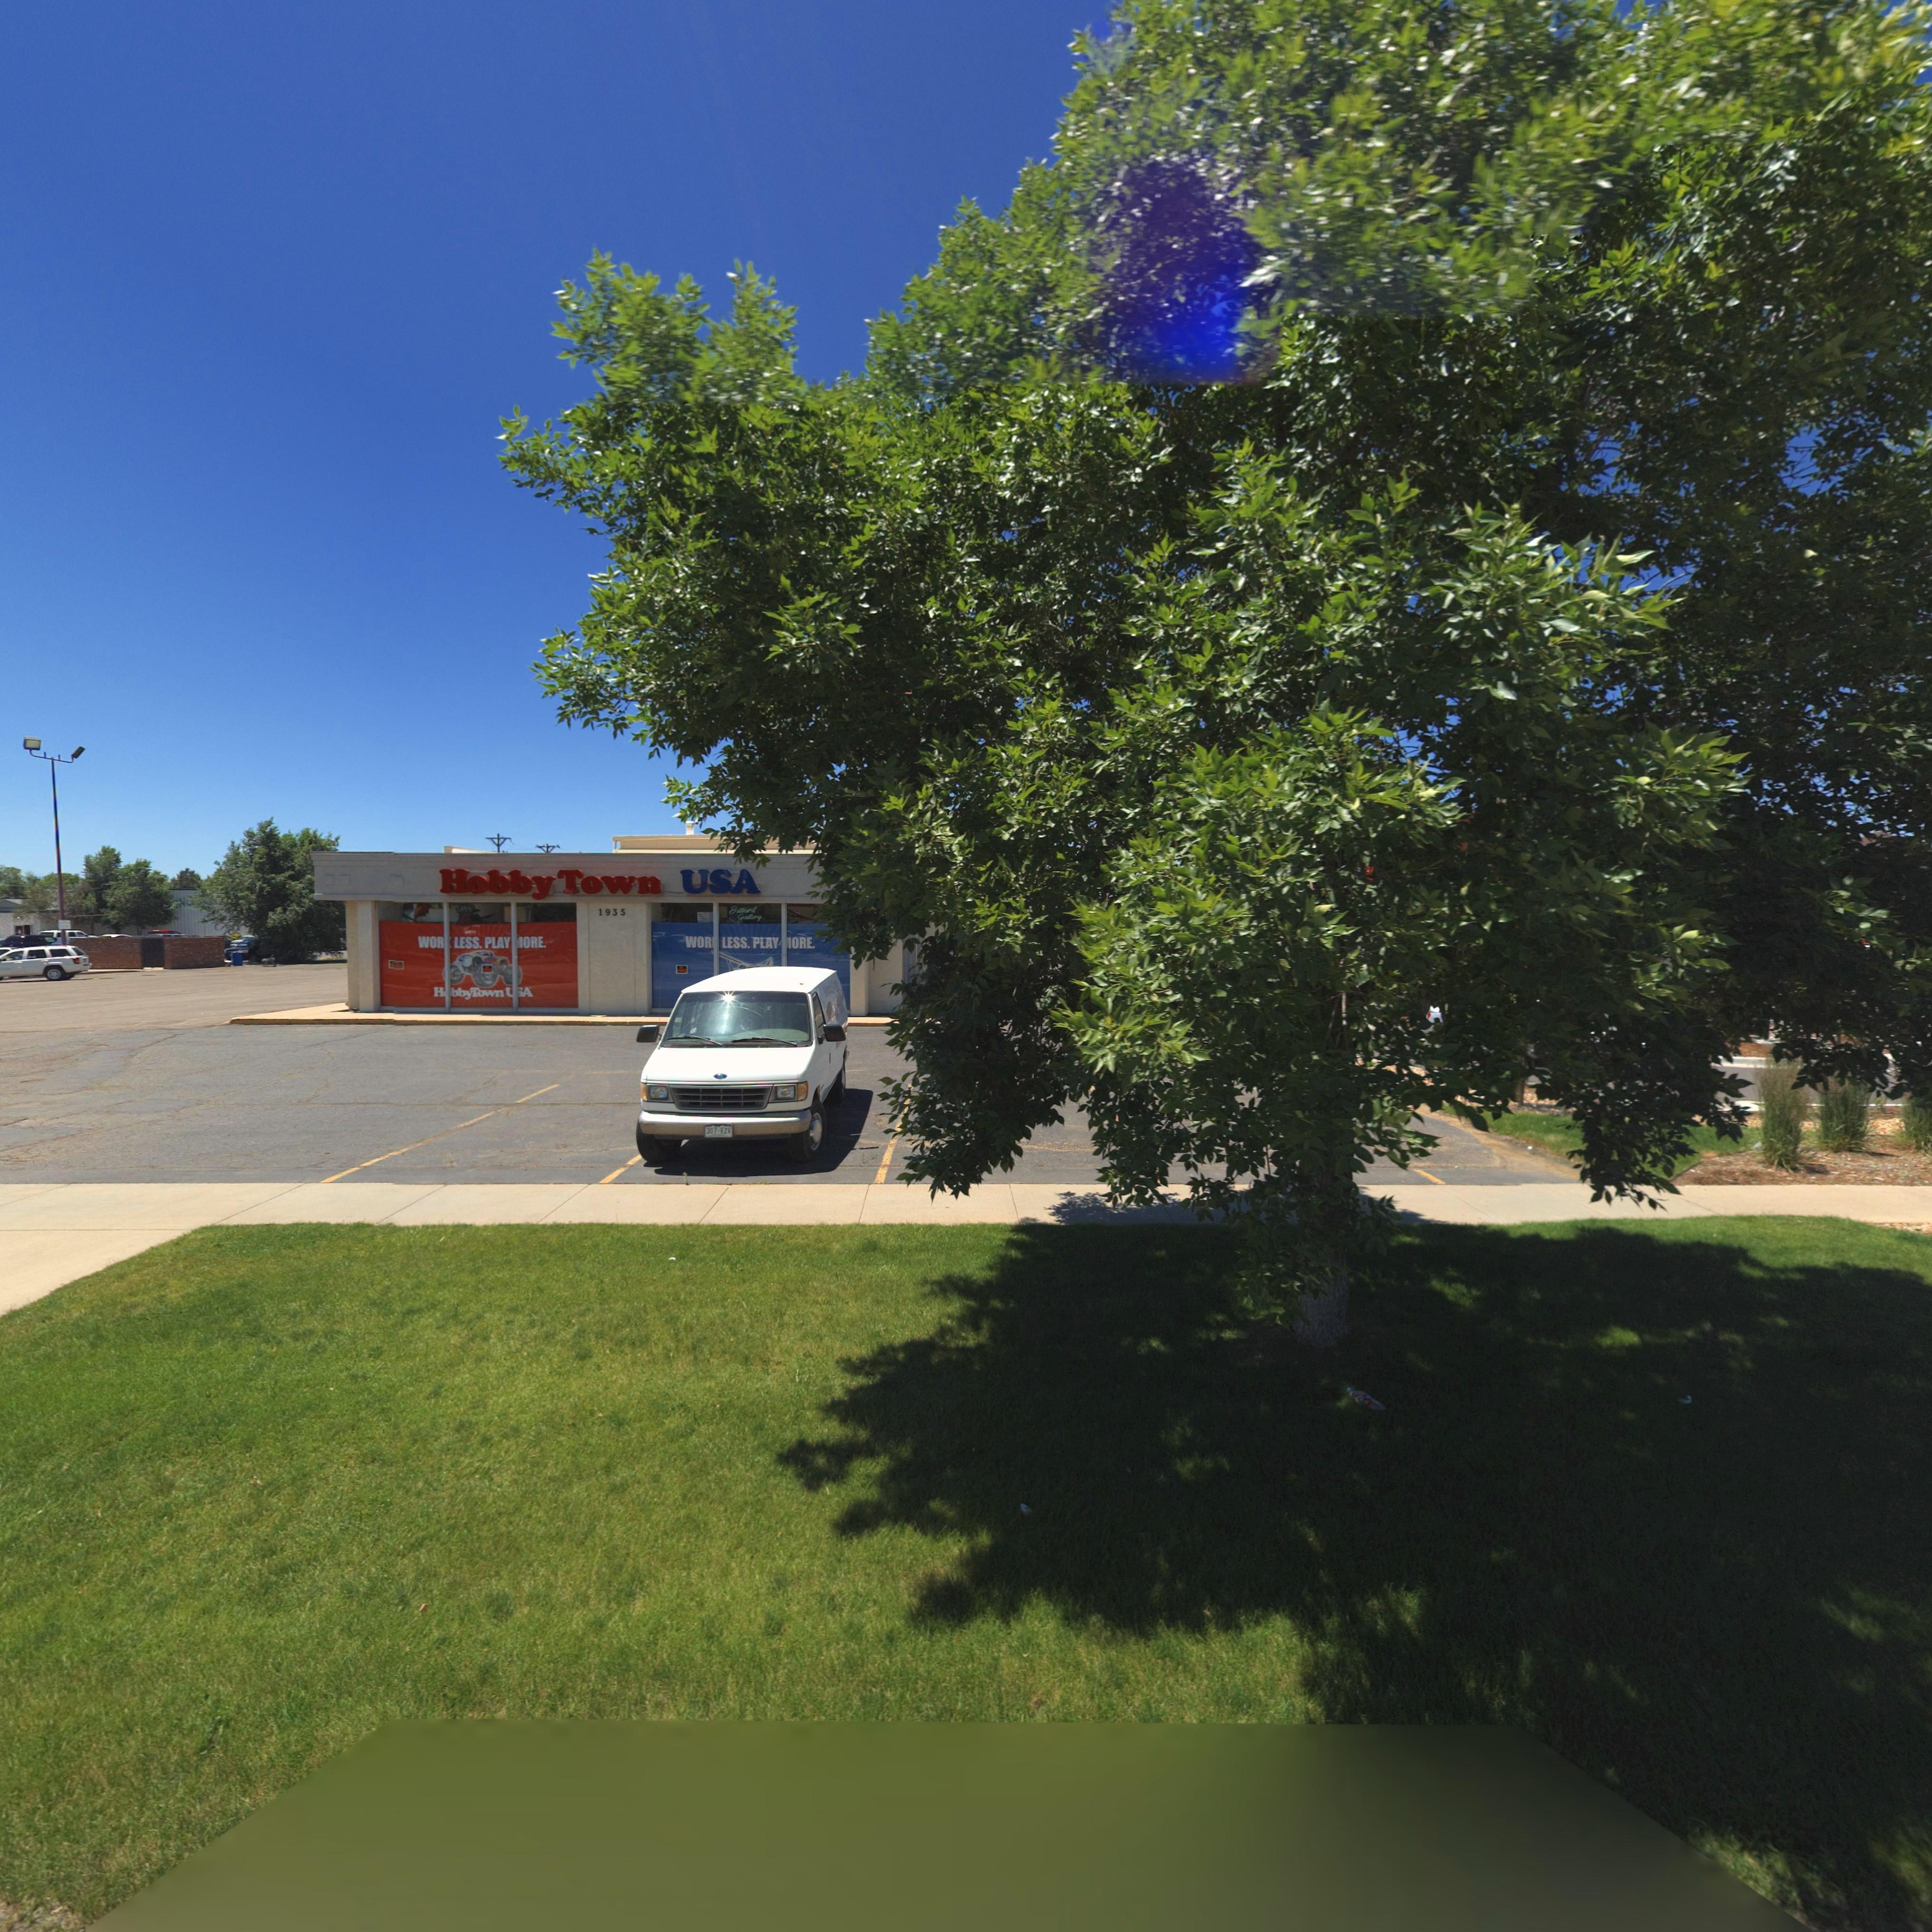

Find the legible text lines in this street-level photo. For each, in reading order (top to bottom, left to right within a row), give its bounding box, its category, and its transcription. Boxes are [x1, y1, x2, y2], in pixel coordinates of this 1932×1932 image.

[435, 867, 761, 900] BusinessName: HobbyTownU*A
[598, 908, 626, 917] StreetNumber: 1935
[431, 986, 535, 1000] BusinessName: HobbyTownU*A